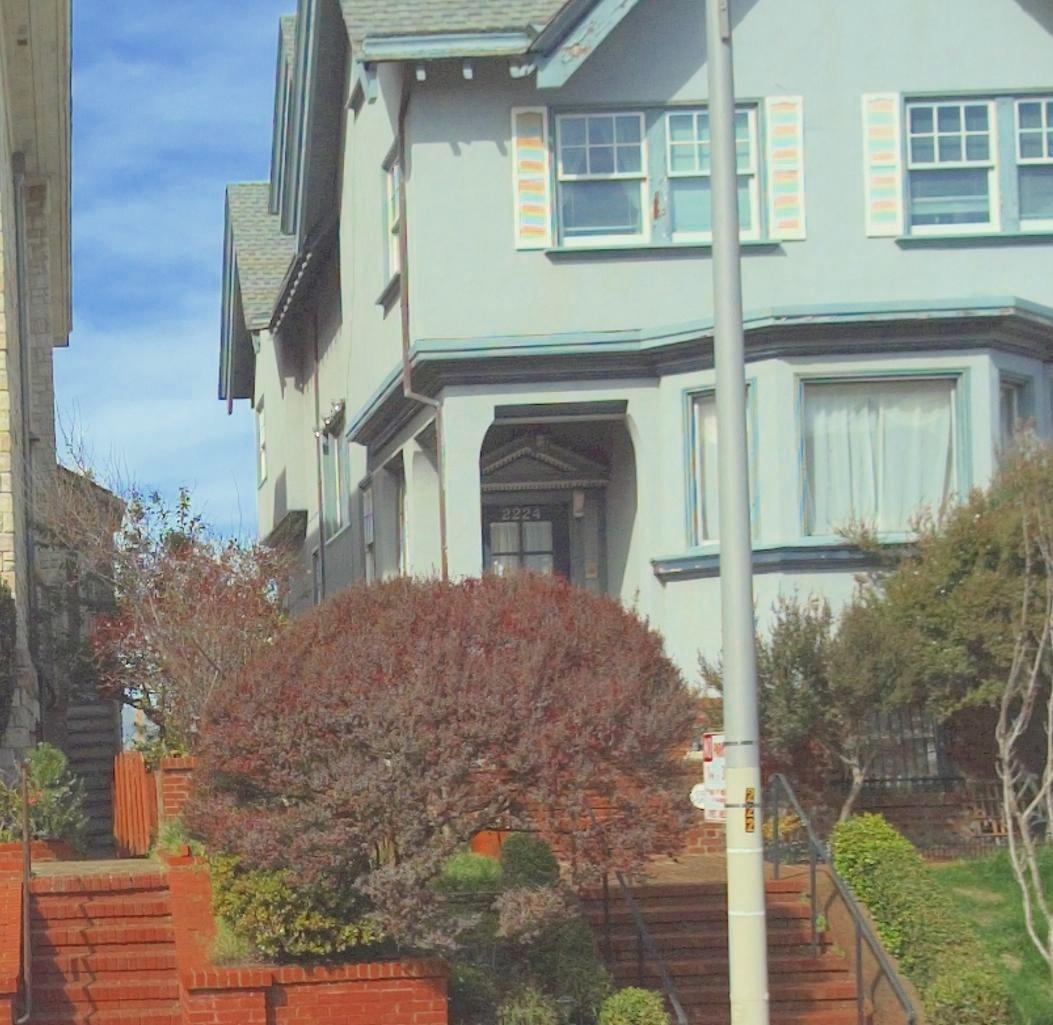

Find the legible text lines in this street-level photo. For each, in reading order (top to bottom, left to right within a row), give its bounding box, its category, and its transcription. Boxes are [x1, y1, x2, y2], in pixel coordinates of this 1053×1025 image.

[499, 506, 542, 522] StreetNumber: 2224
[744, 787, 756, 833] None: 2*2